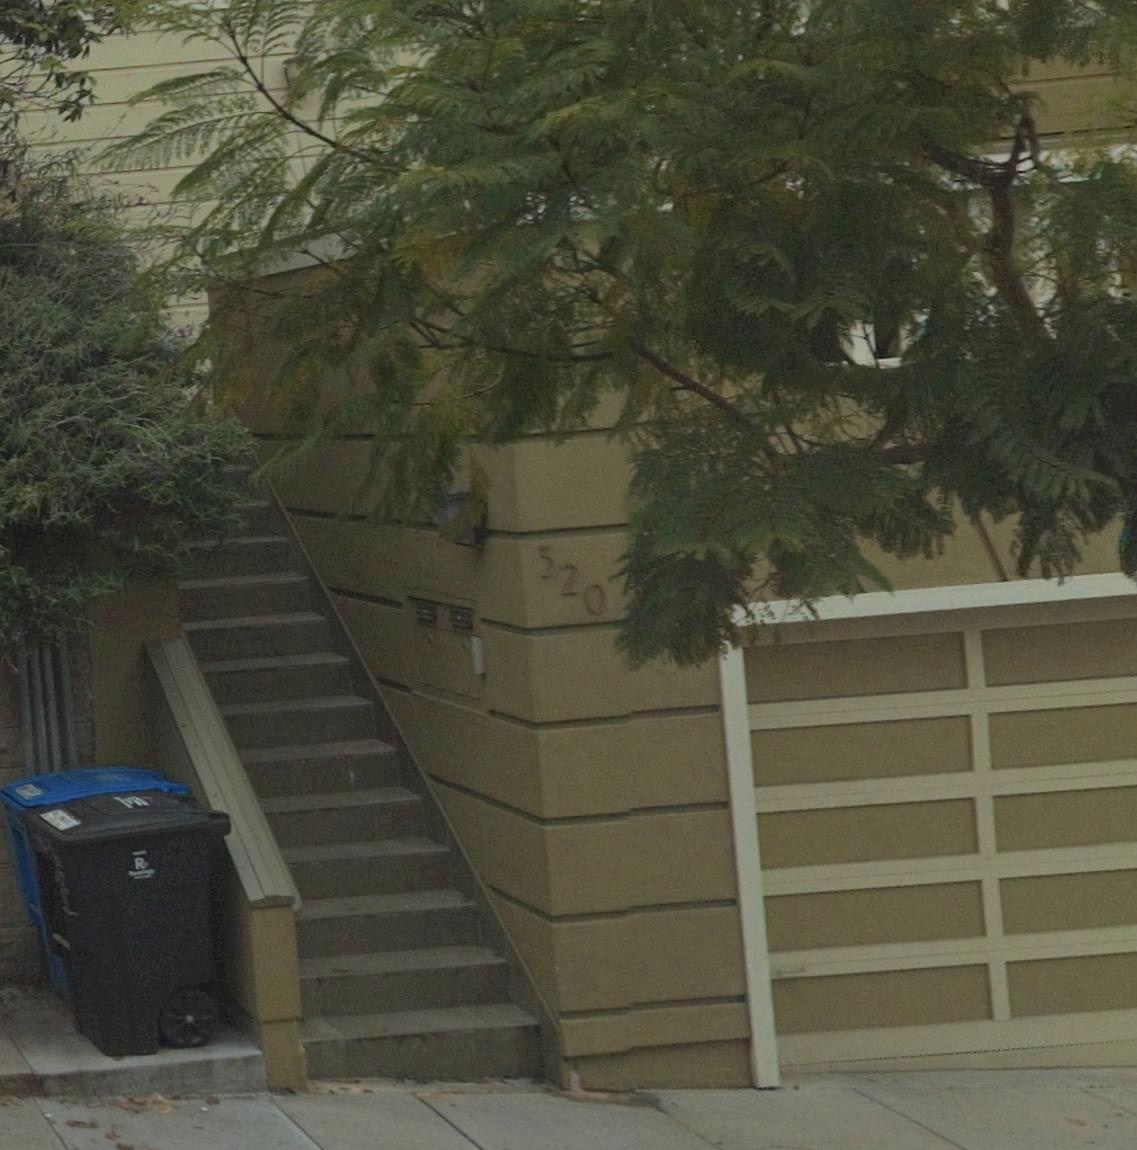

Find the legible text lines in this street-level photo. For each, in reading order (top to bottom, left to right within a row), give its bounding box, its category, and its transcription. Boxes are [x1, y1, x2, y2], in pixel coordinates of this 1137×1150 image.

[532, 541, 611, 617] StreetNumber: 320